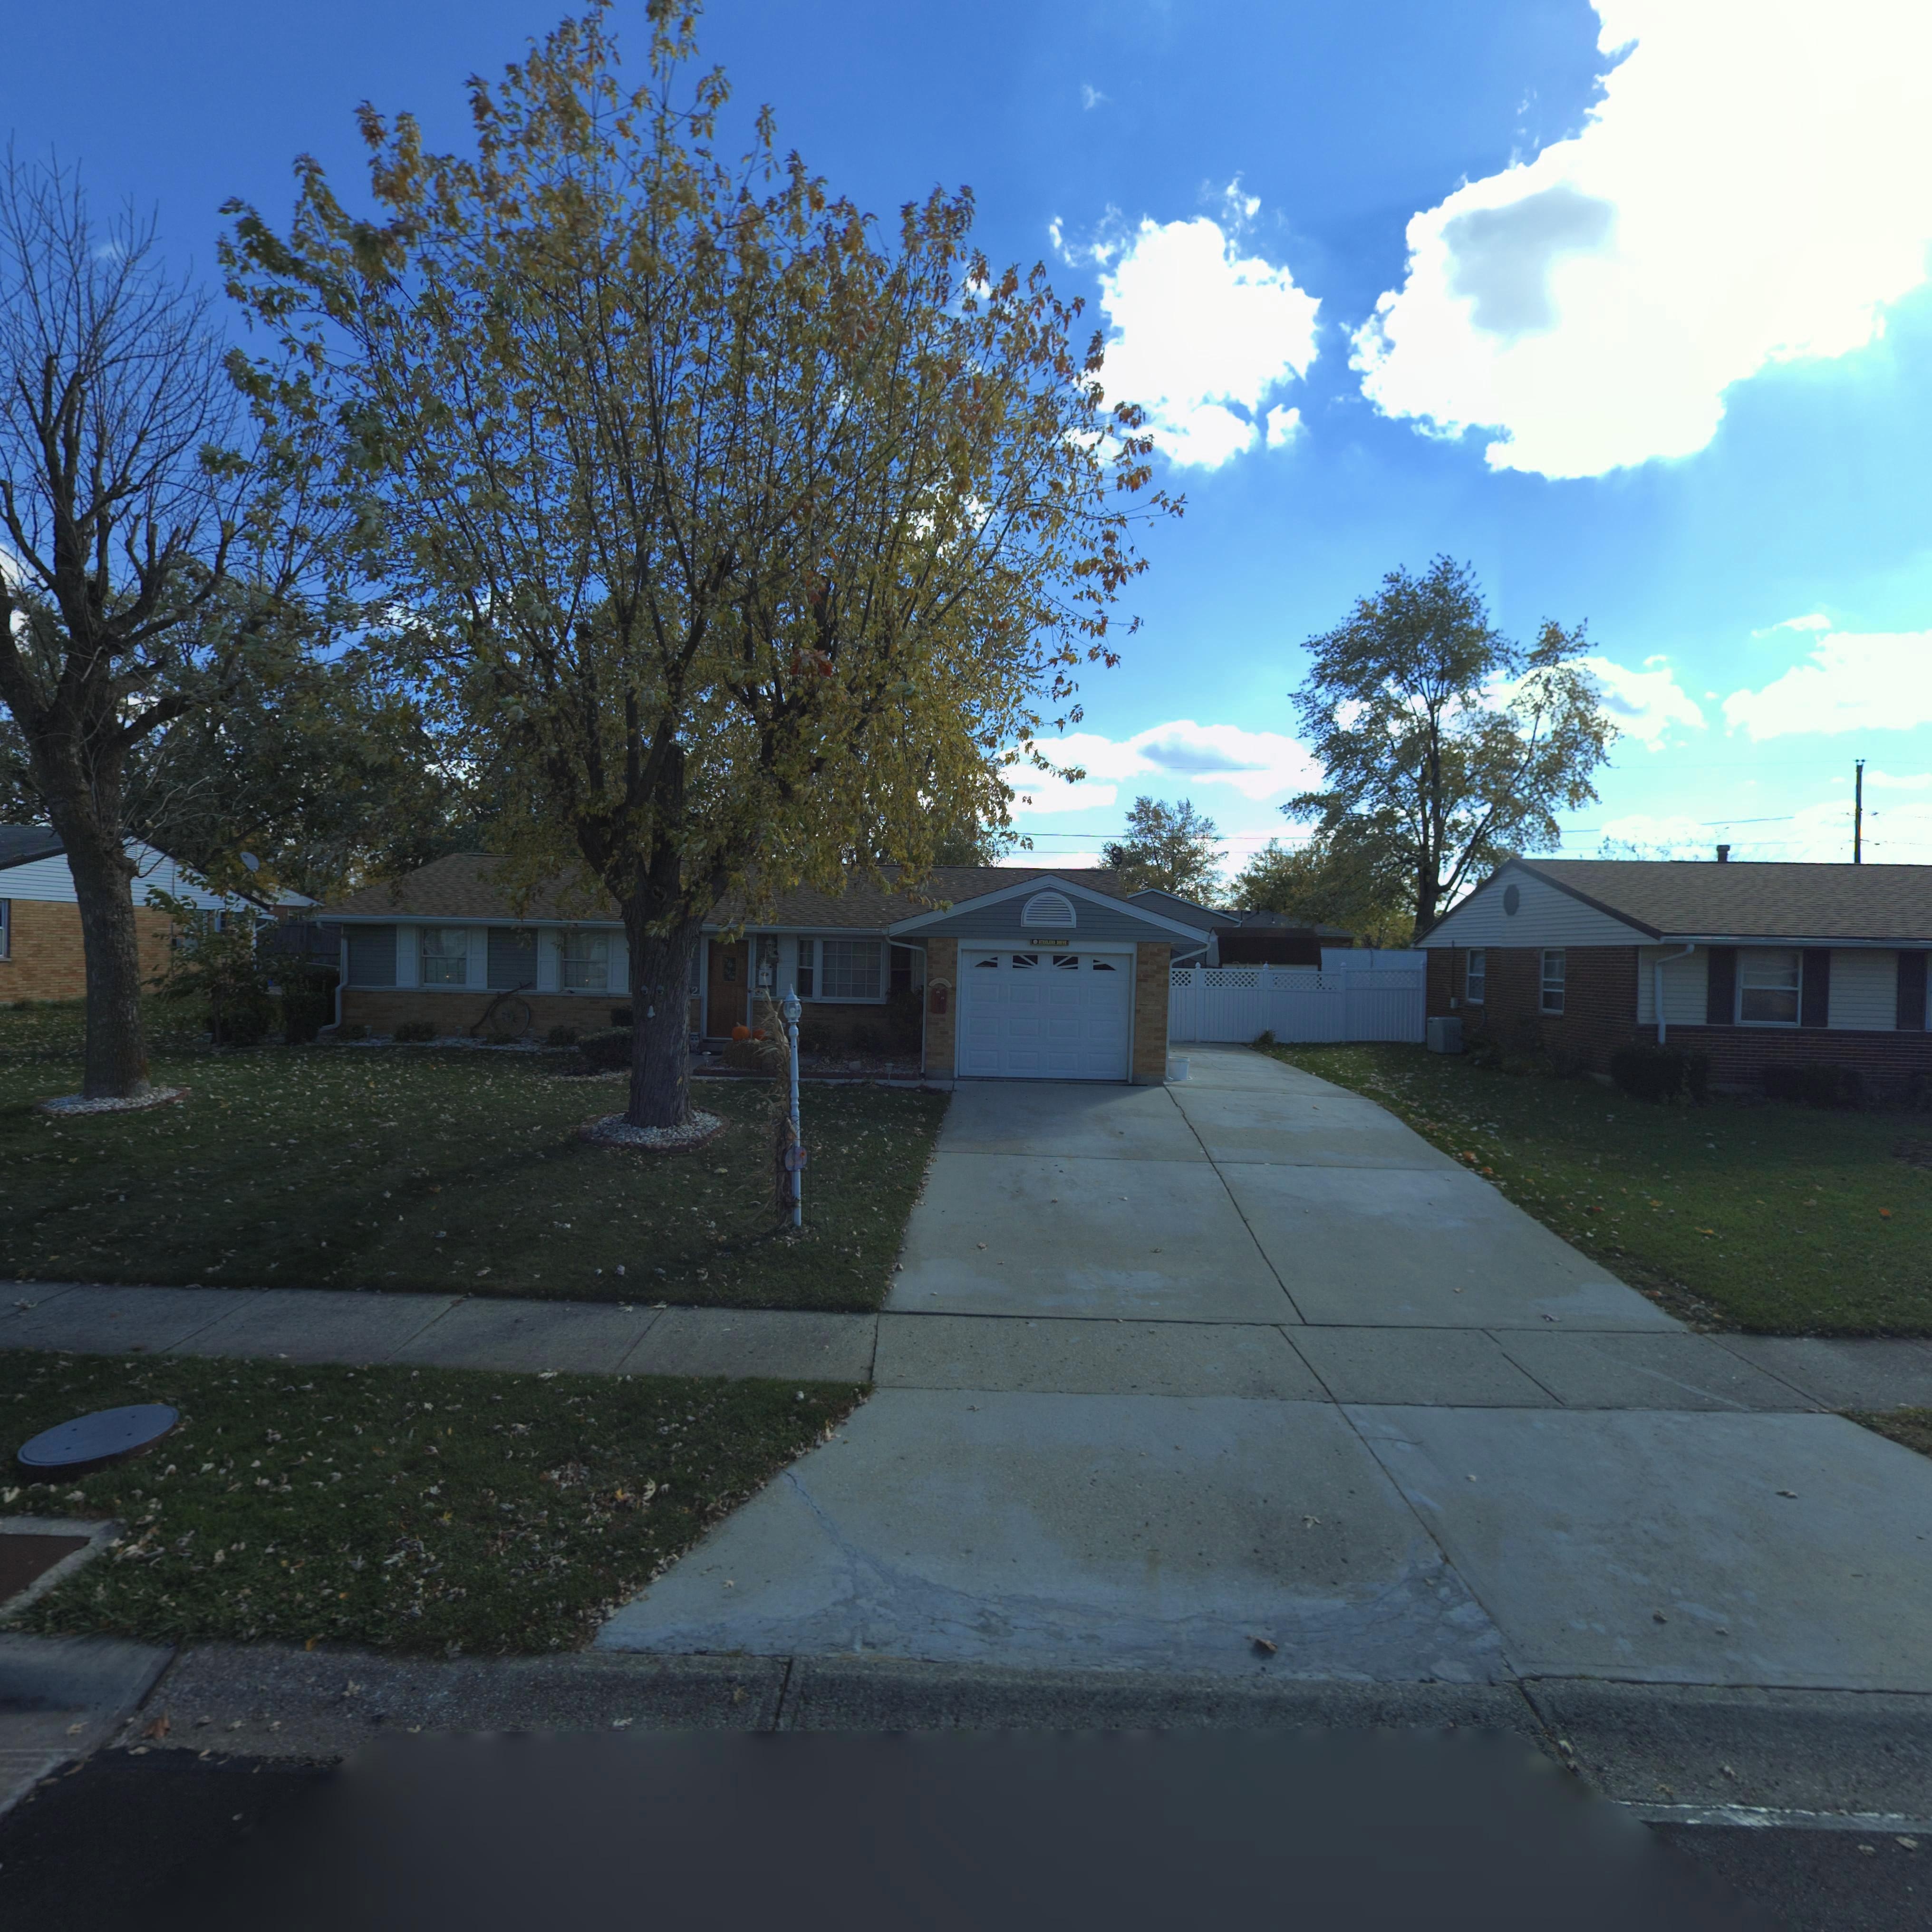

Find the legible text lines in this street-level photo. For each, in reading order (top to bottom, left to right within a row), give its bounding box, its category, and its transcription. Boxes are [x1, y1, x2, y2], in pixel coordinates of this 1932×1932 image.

[691, 986, 698, 996] StreetNumber: 2